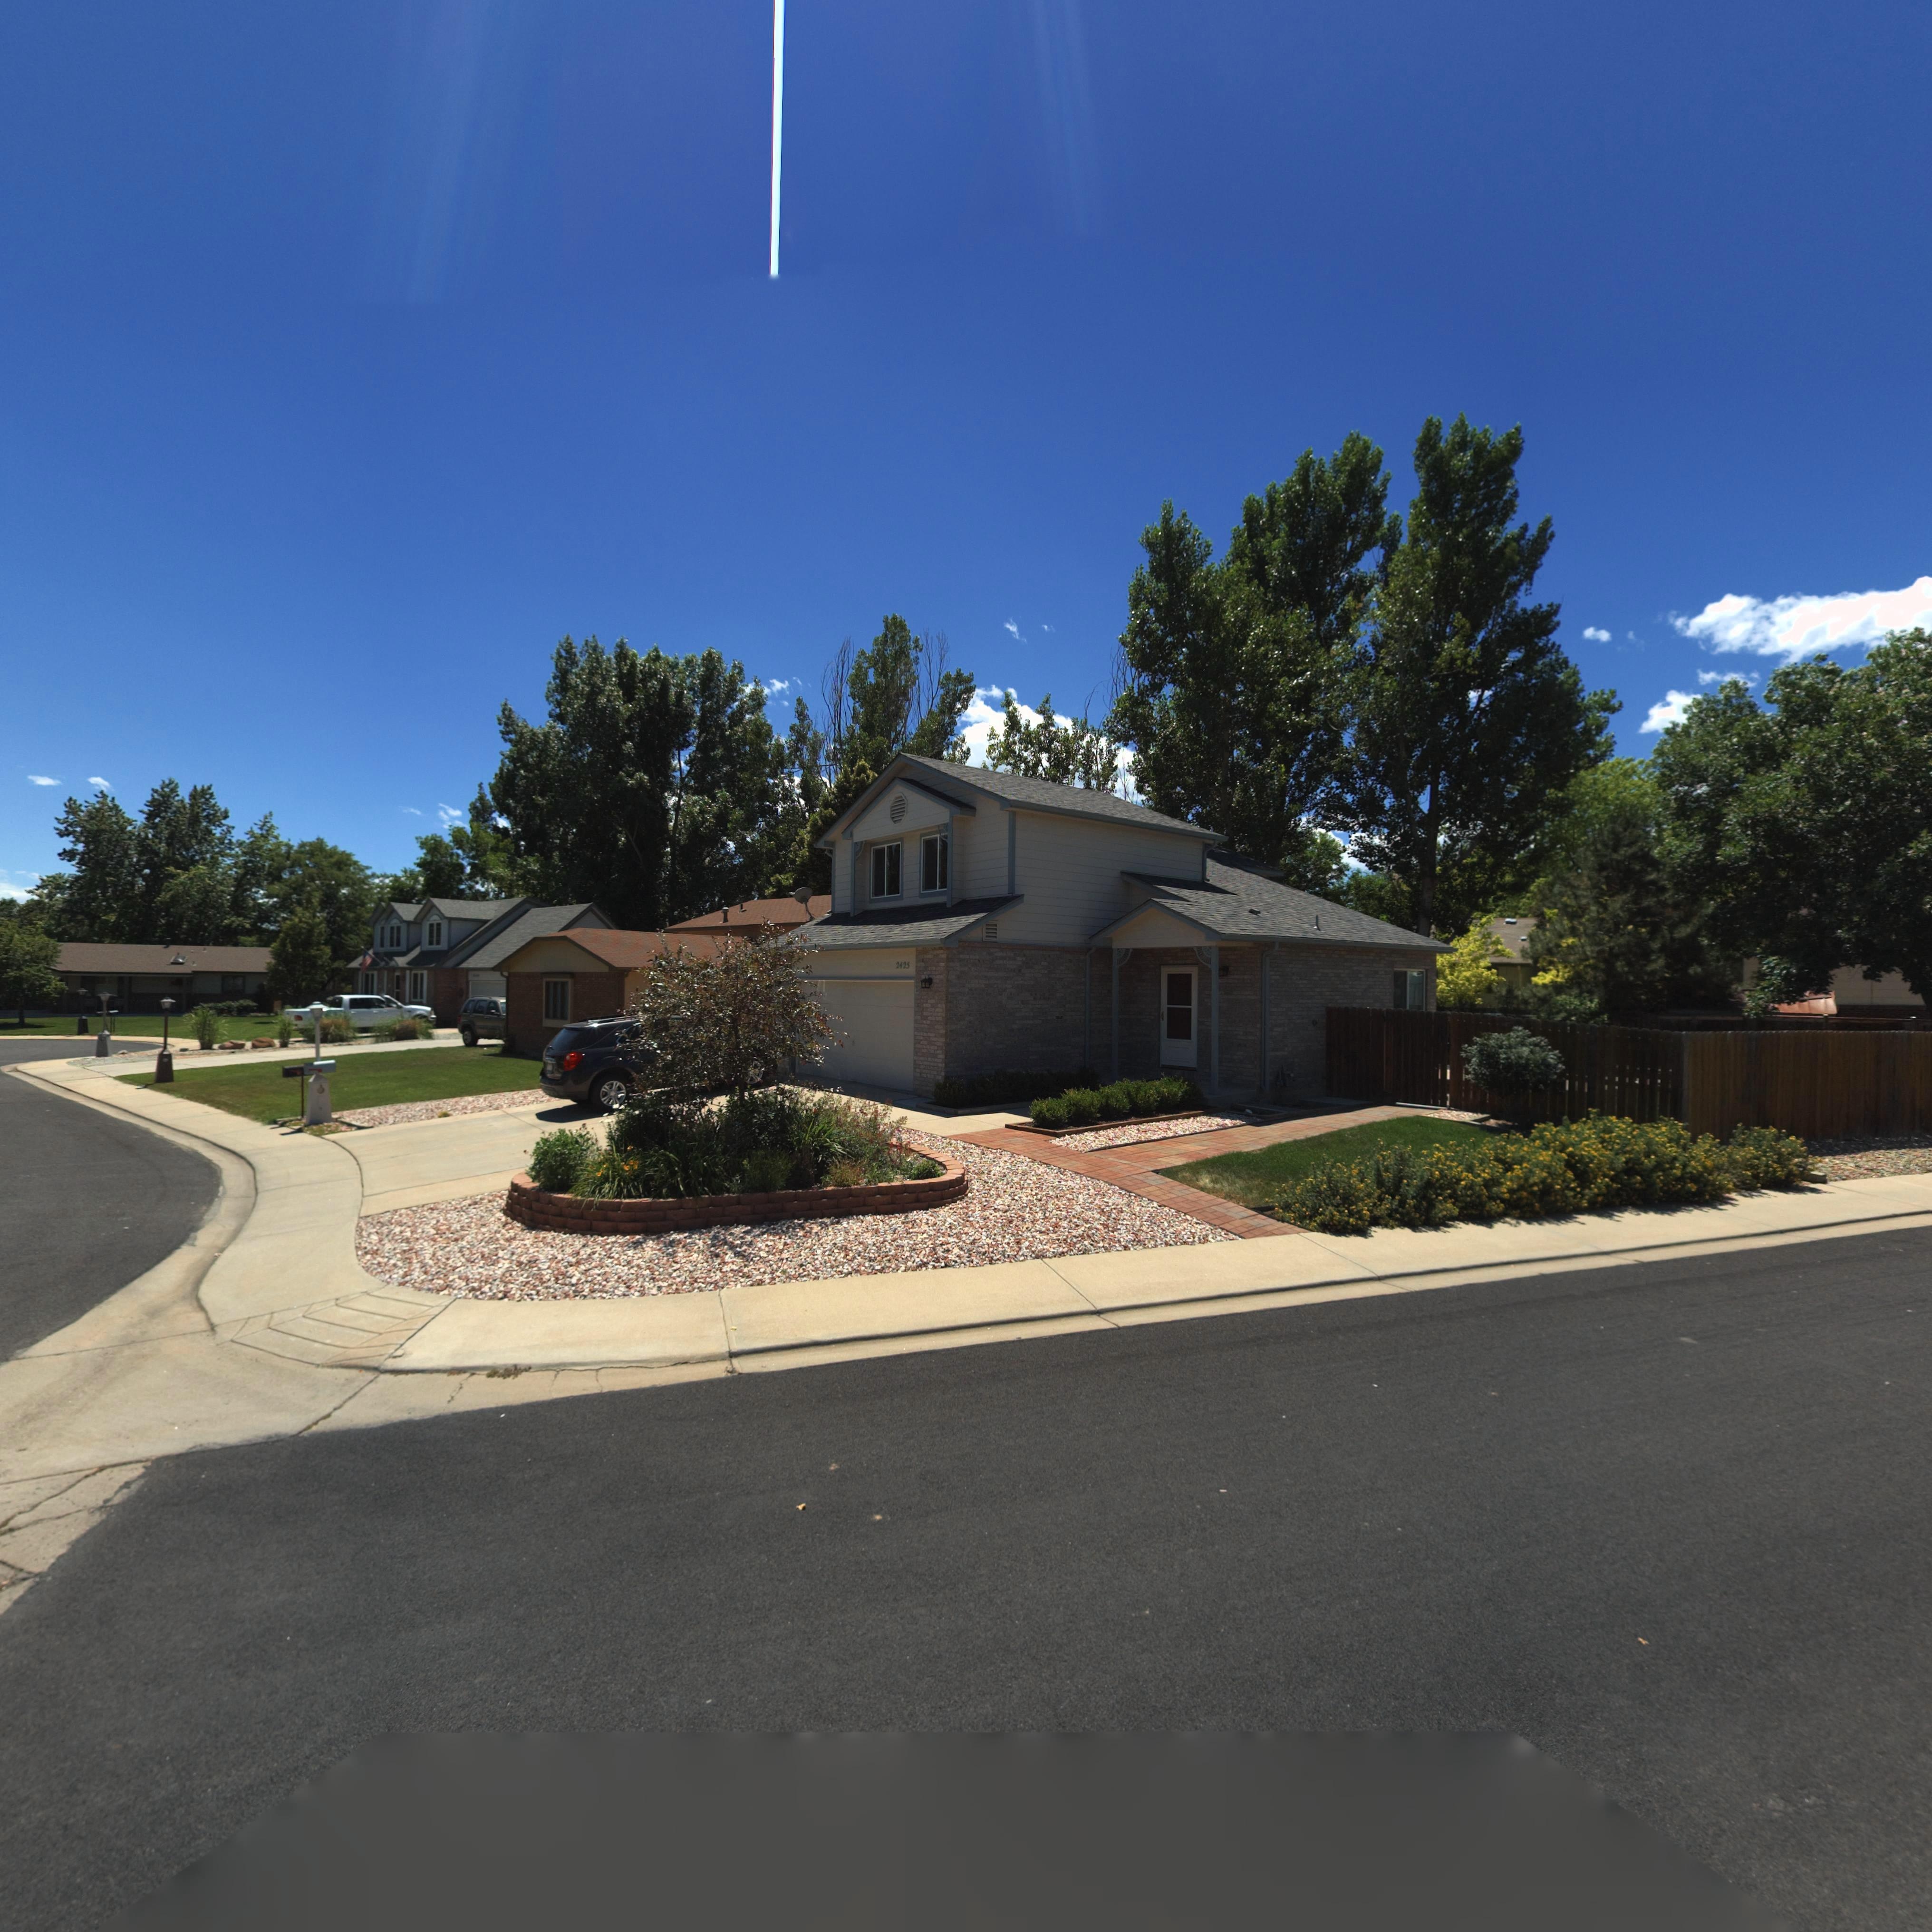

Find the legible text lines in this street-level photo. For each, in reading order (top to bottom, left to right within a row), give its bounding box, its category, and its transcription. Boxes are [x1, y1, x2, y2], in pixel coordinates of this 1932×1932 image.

[895, 961, 909, 969] StreetNumber: 2425